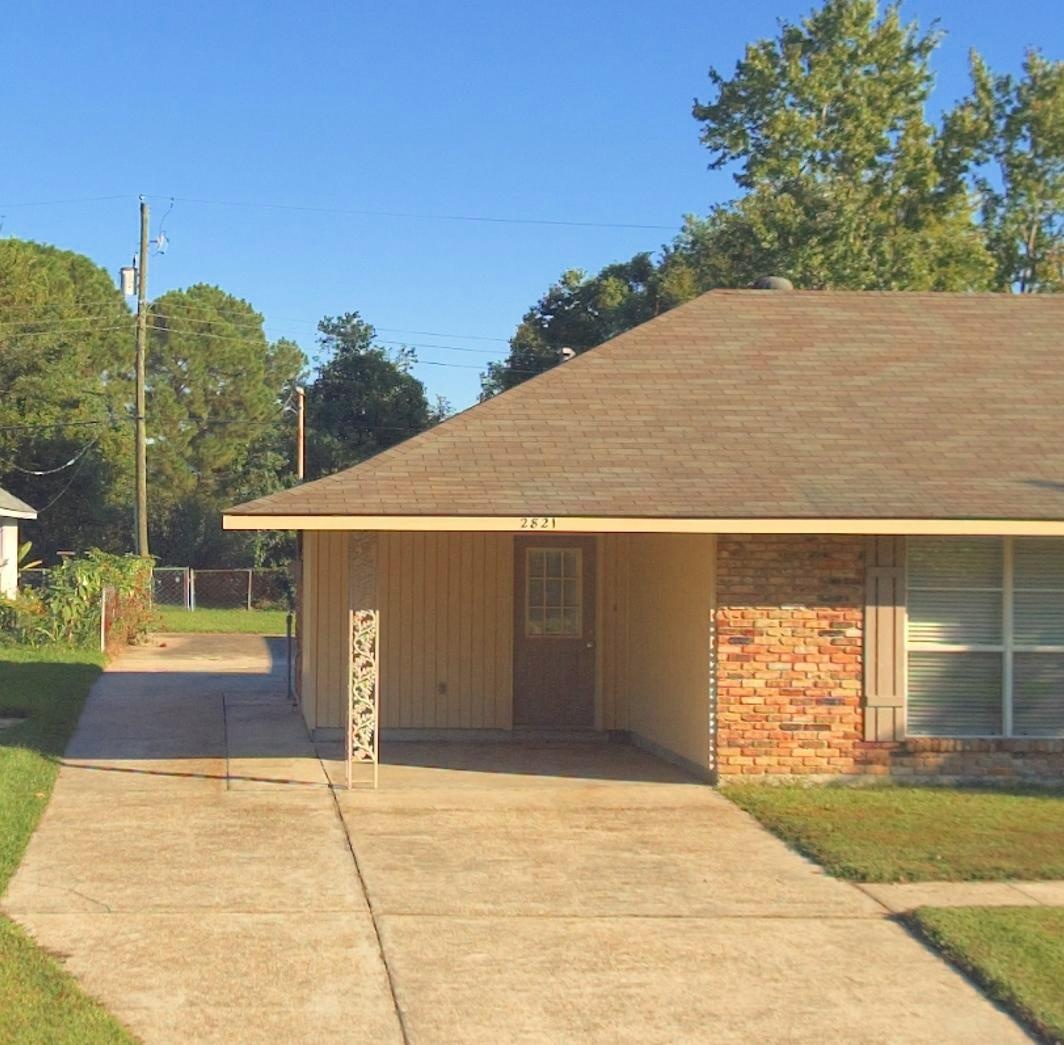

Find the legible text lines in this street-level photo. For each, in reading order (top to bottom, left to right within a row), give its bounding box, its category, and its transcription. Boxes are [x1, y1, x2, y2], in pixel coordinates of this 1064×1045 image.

[519, 517, 557, 530] StreetNumber: 2821